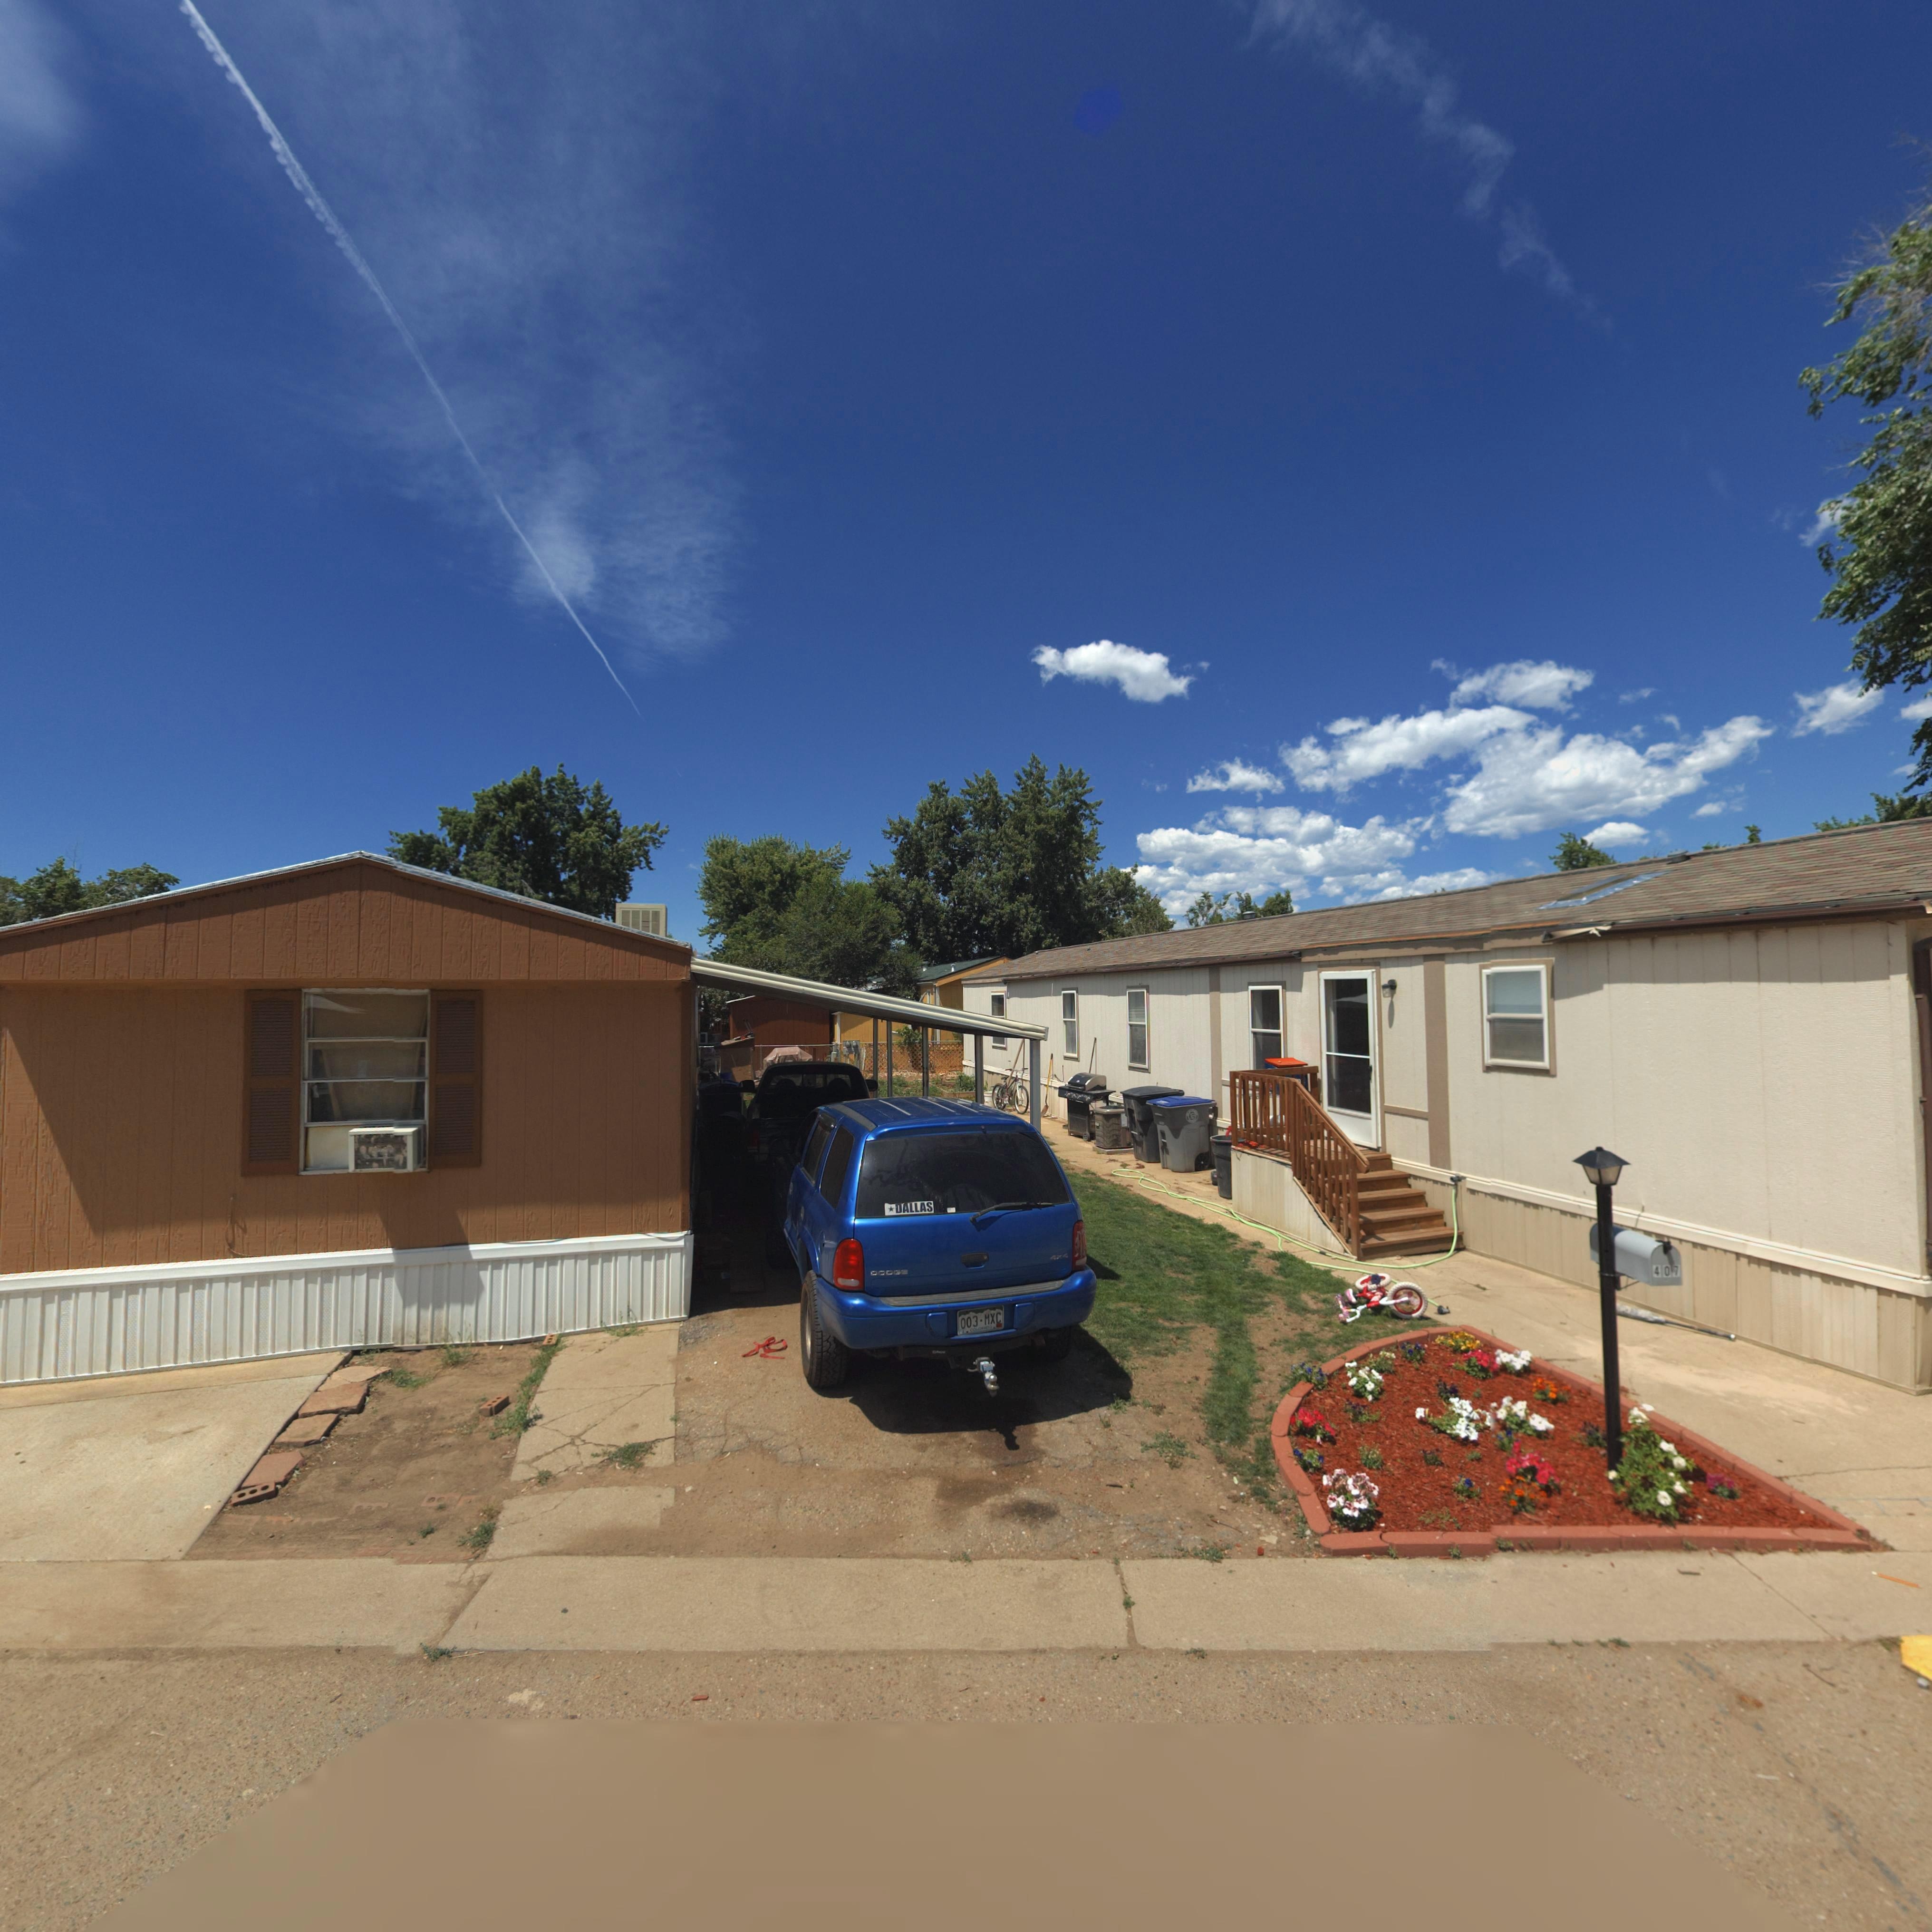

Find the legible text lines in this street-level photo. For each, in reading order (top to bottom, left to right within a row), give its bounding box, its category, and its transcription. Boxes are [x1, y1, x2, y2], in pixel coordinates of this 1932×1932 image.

[1654, 1265, 1679, 1276] StreetNumber: 407